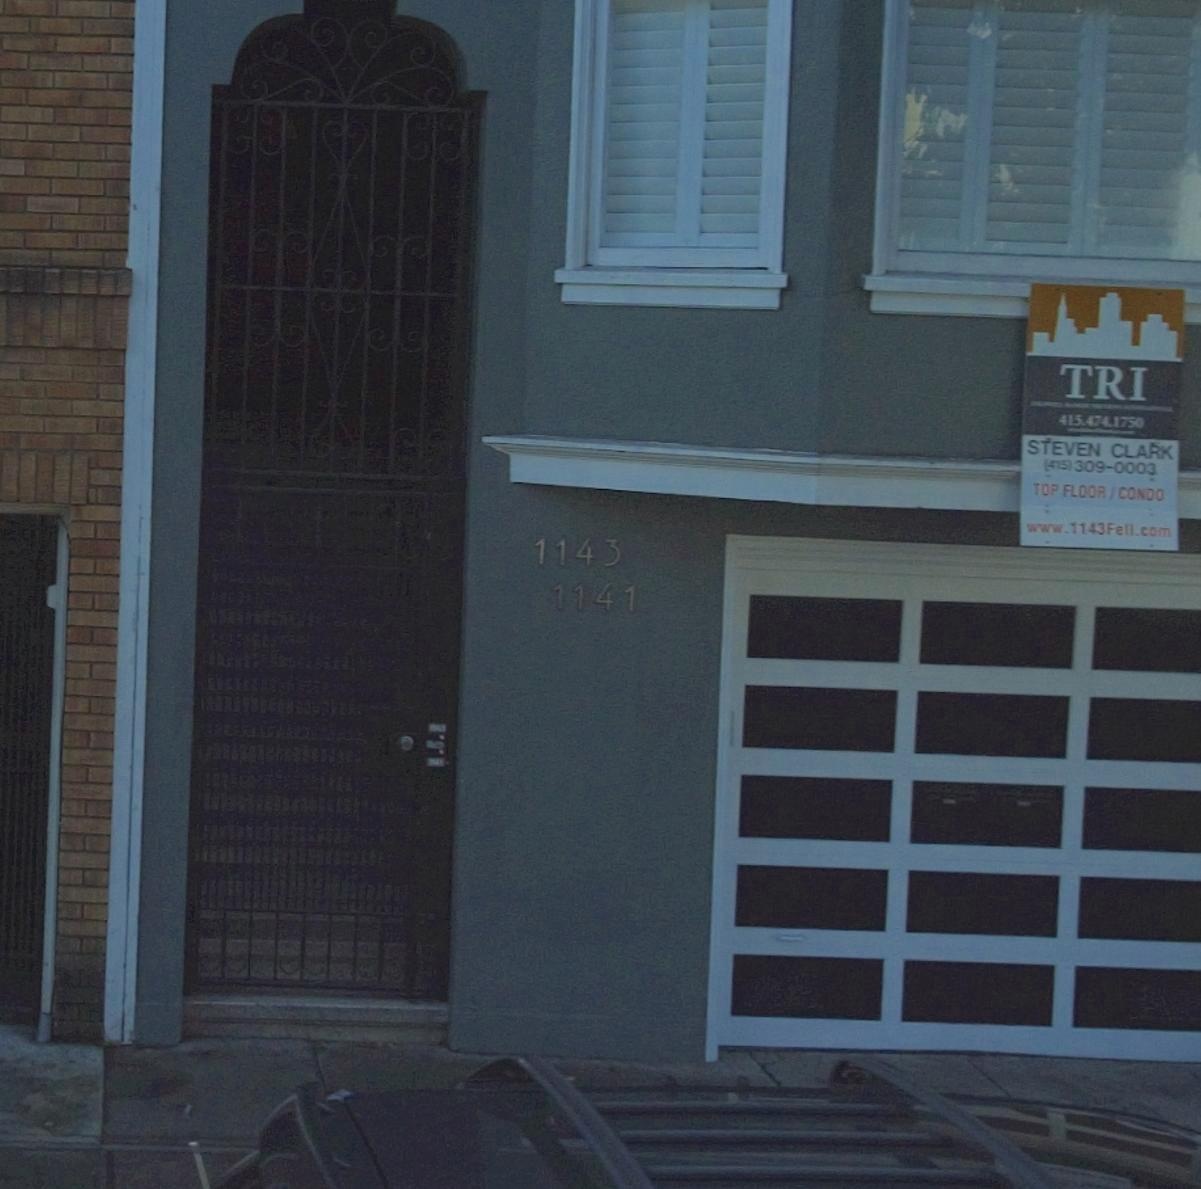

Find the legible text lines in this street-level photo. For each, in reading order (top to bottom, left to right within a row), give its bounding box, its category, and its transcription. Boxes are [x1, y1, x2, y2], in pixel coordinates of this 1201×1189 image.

[1056, 361, 1151, 404] None: TRI
[1055, 410, 1147, 431] None: 415.474.1750
[1024, 436, 1179, 463] None: STEVEN CLARK
[1040, 456, 1161, 478] None: (415)309-0003
[1029, 479, 1168, 505] None: TOP FLOOR / CONDO
[1022, 519, 1175, 540] None: www.1143Fell.com
[530, 535, 624, 569] StreetNumber: 1143
[548, 580, 638, 614] StreetNumber: 1141